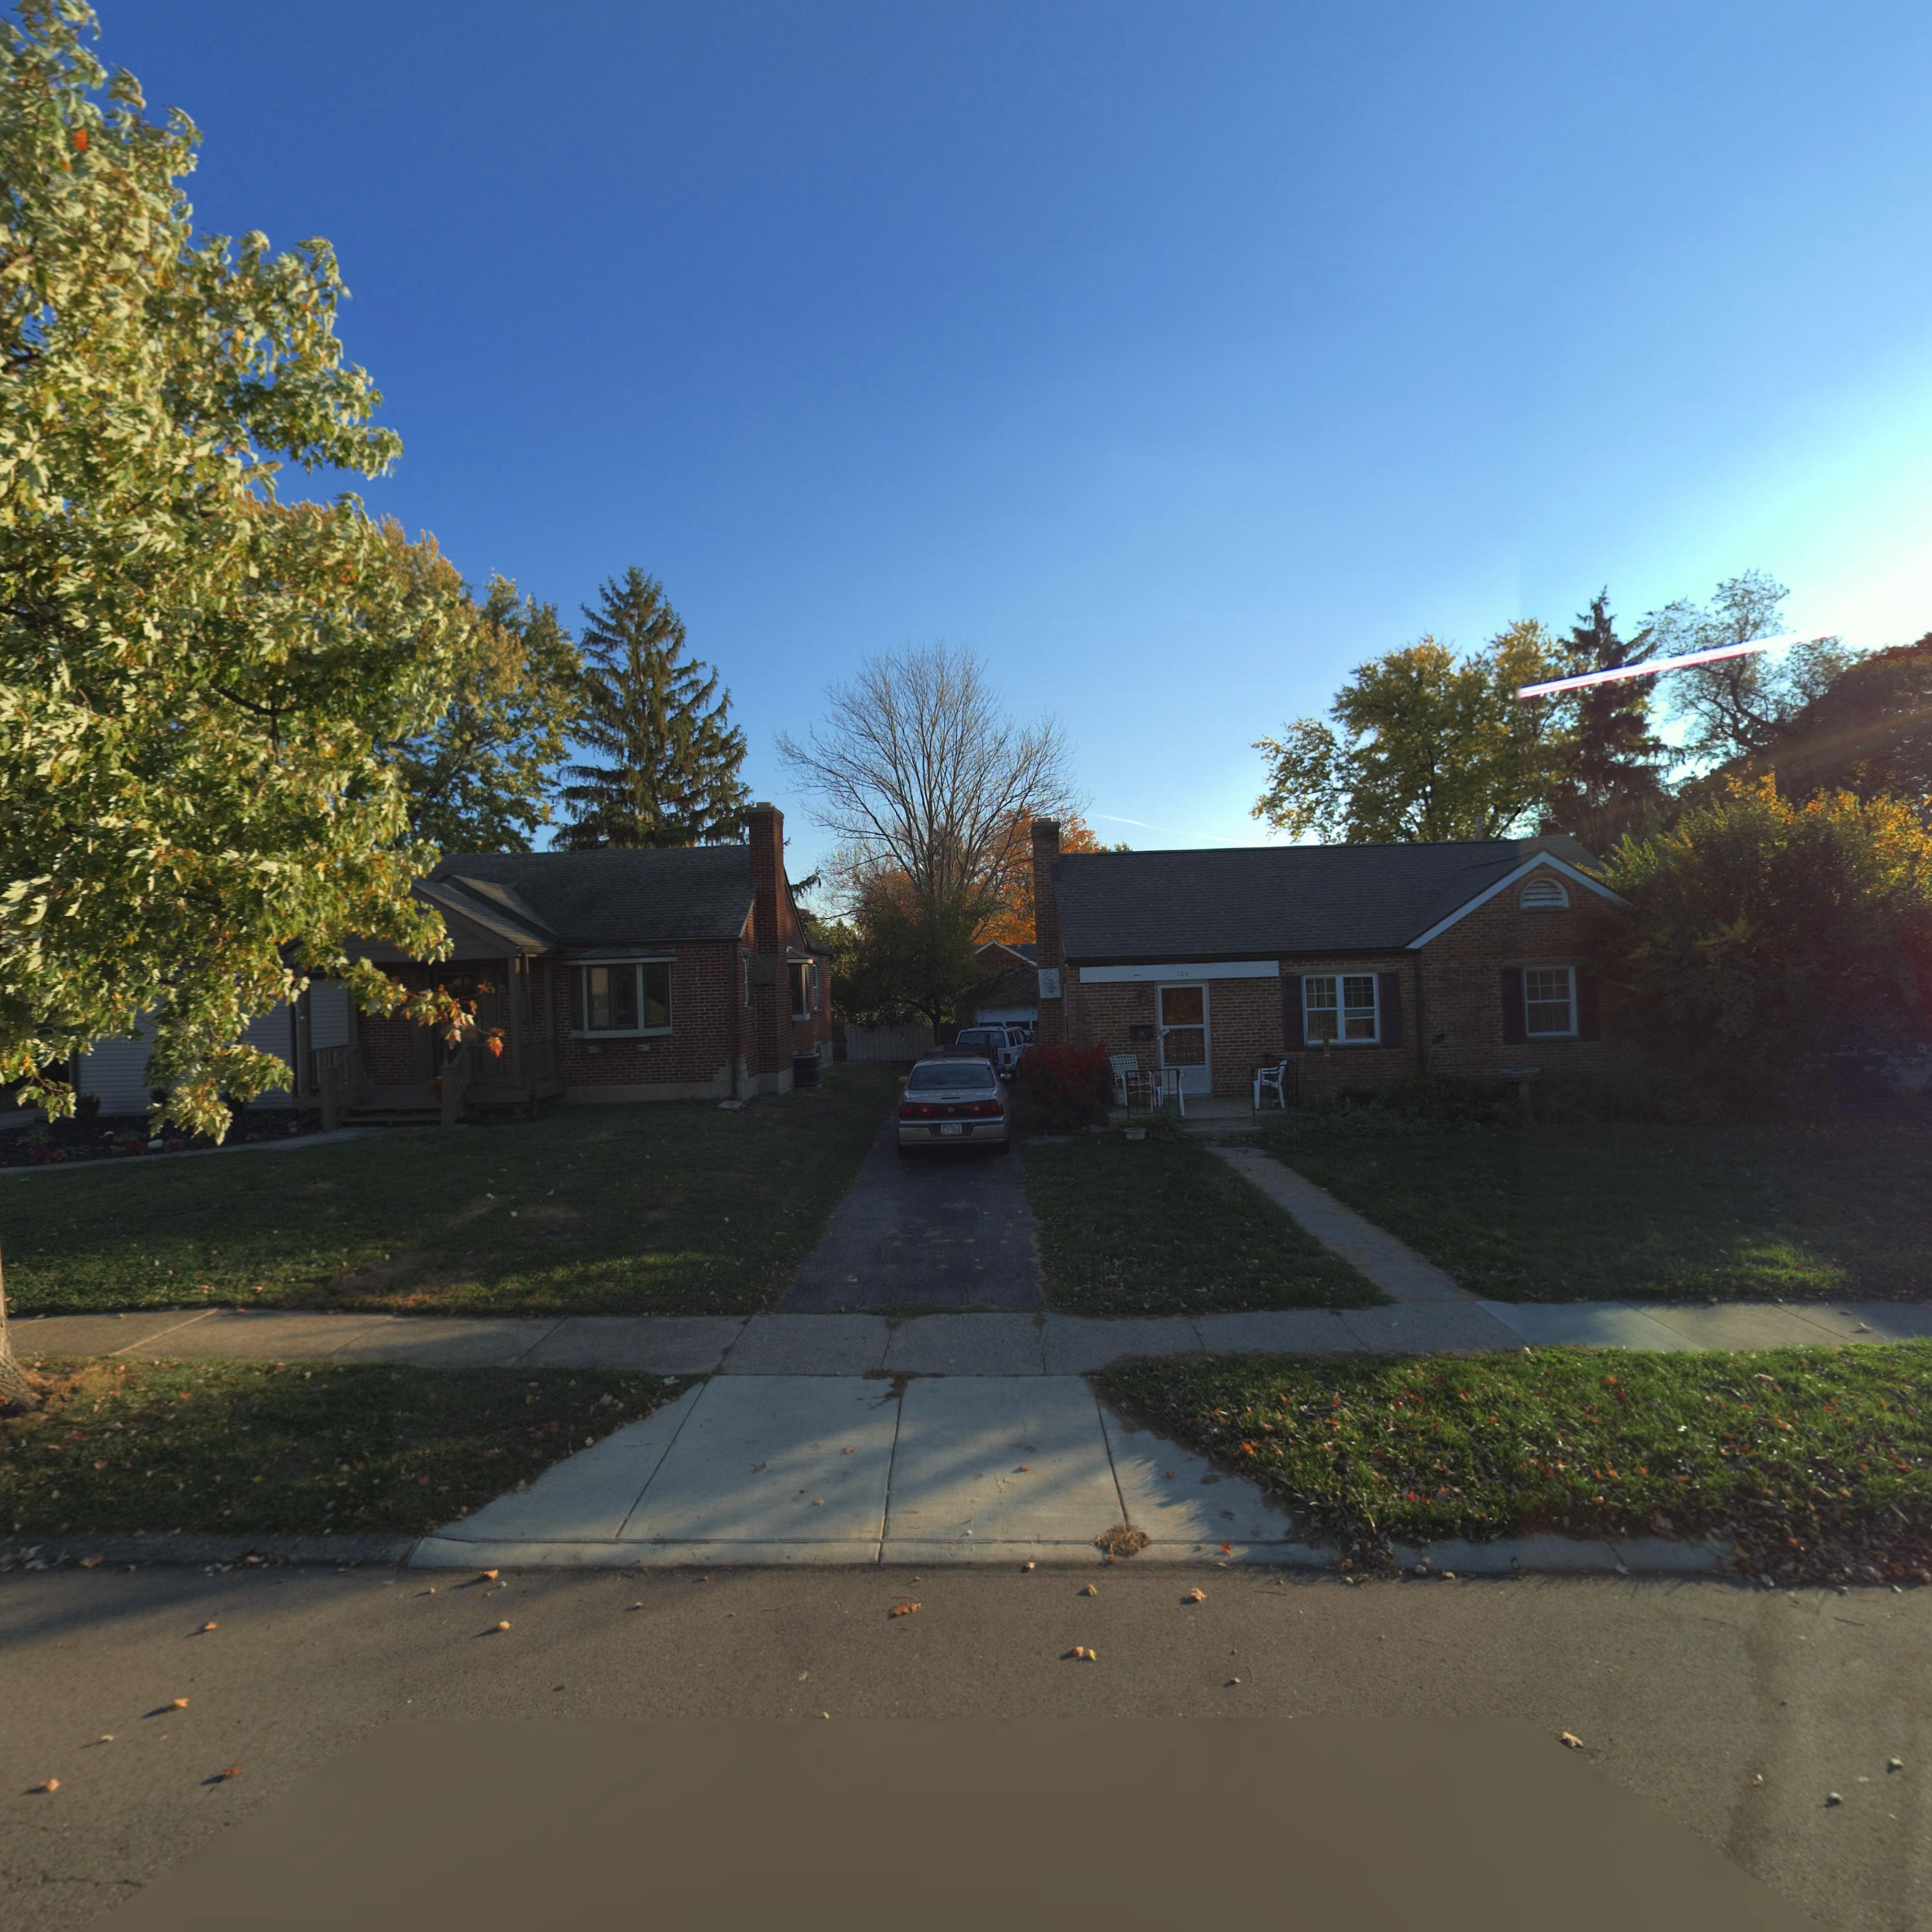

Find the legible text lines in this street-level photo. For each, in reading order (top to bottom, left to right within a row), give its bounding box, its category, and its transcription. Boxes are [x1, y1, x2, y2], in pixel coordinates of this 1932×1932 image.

[1176, 970, 1189, 977] StreetNumber: 104